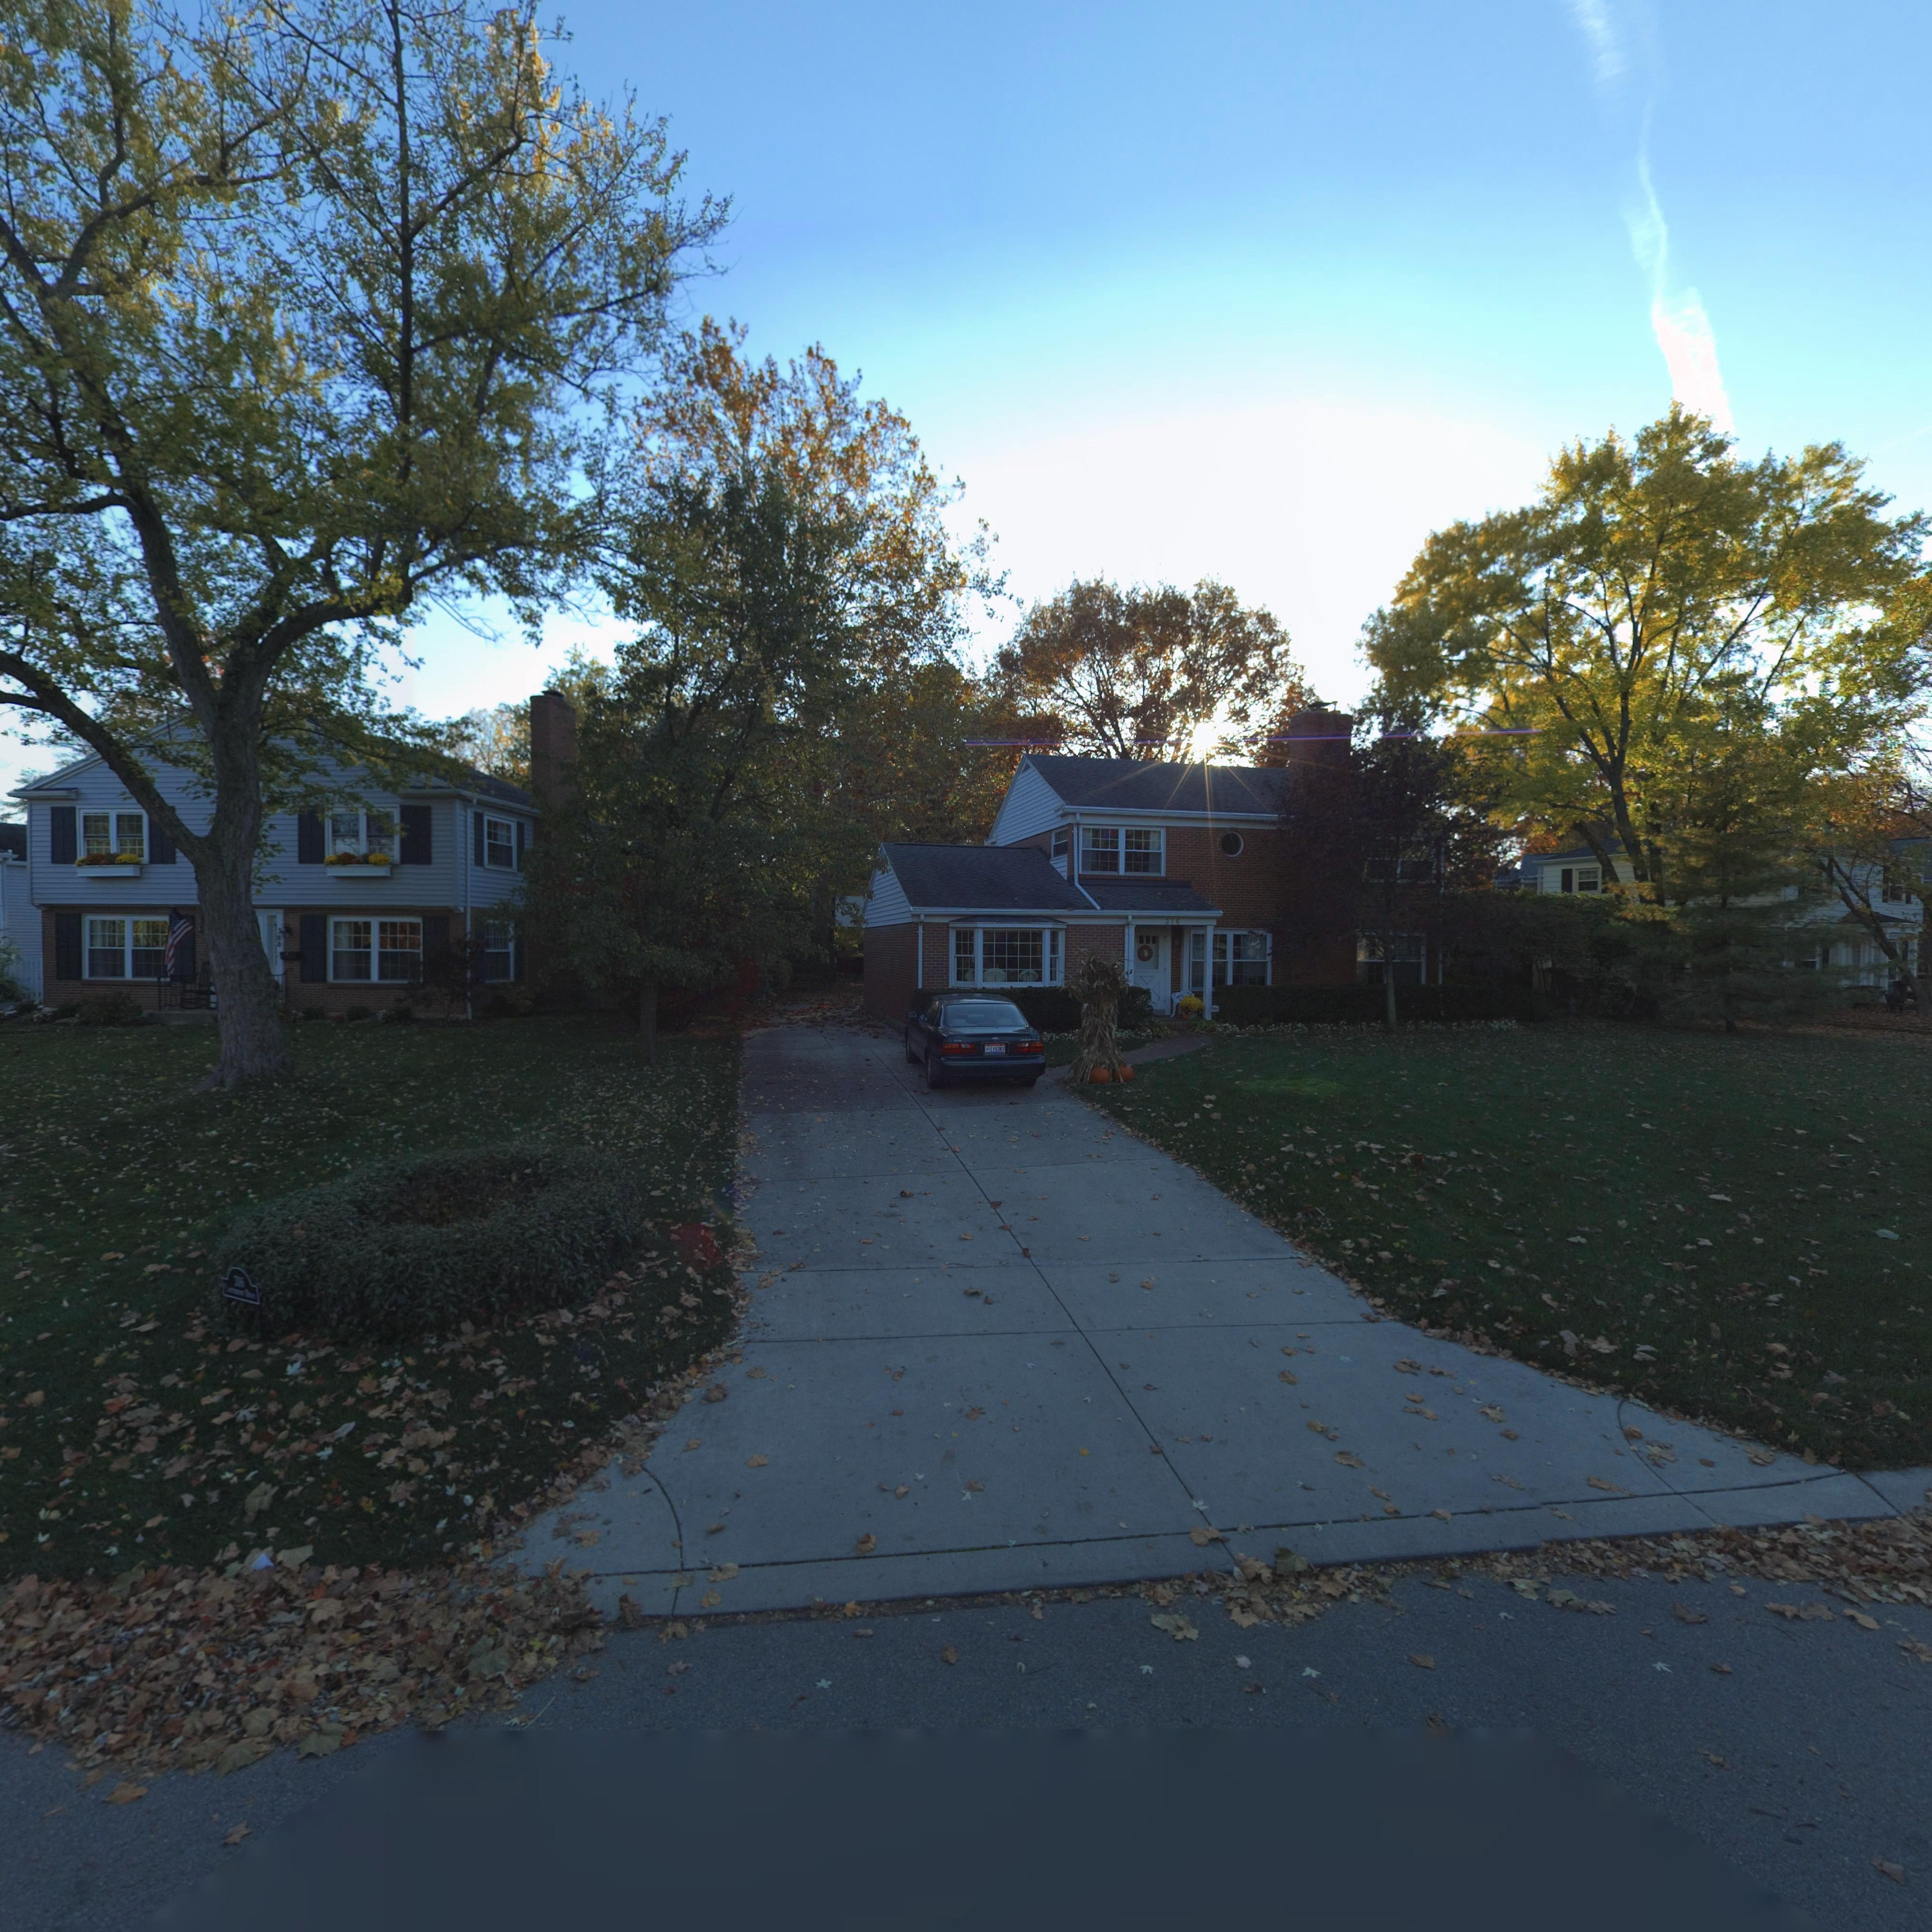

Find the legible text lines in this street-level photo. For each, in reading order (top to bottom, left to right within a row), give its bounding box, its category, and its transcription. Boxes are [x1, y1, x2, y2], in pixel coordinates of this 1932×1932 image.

[1165, 917, 1180, 925] StreetNumber: 316
[276, 934, 282, 948] StreetNumber: 00
[233, 1274, 246, 1289] StreetNumber: 316